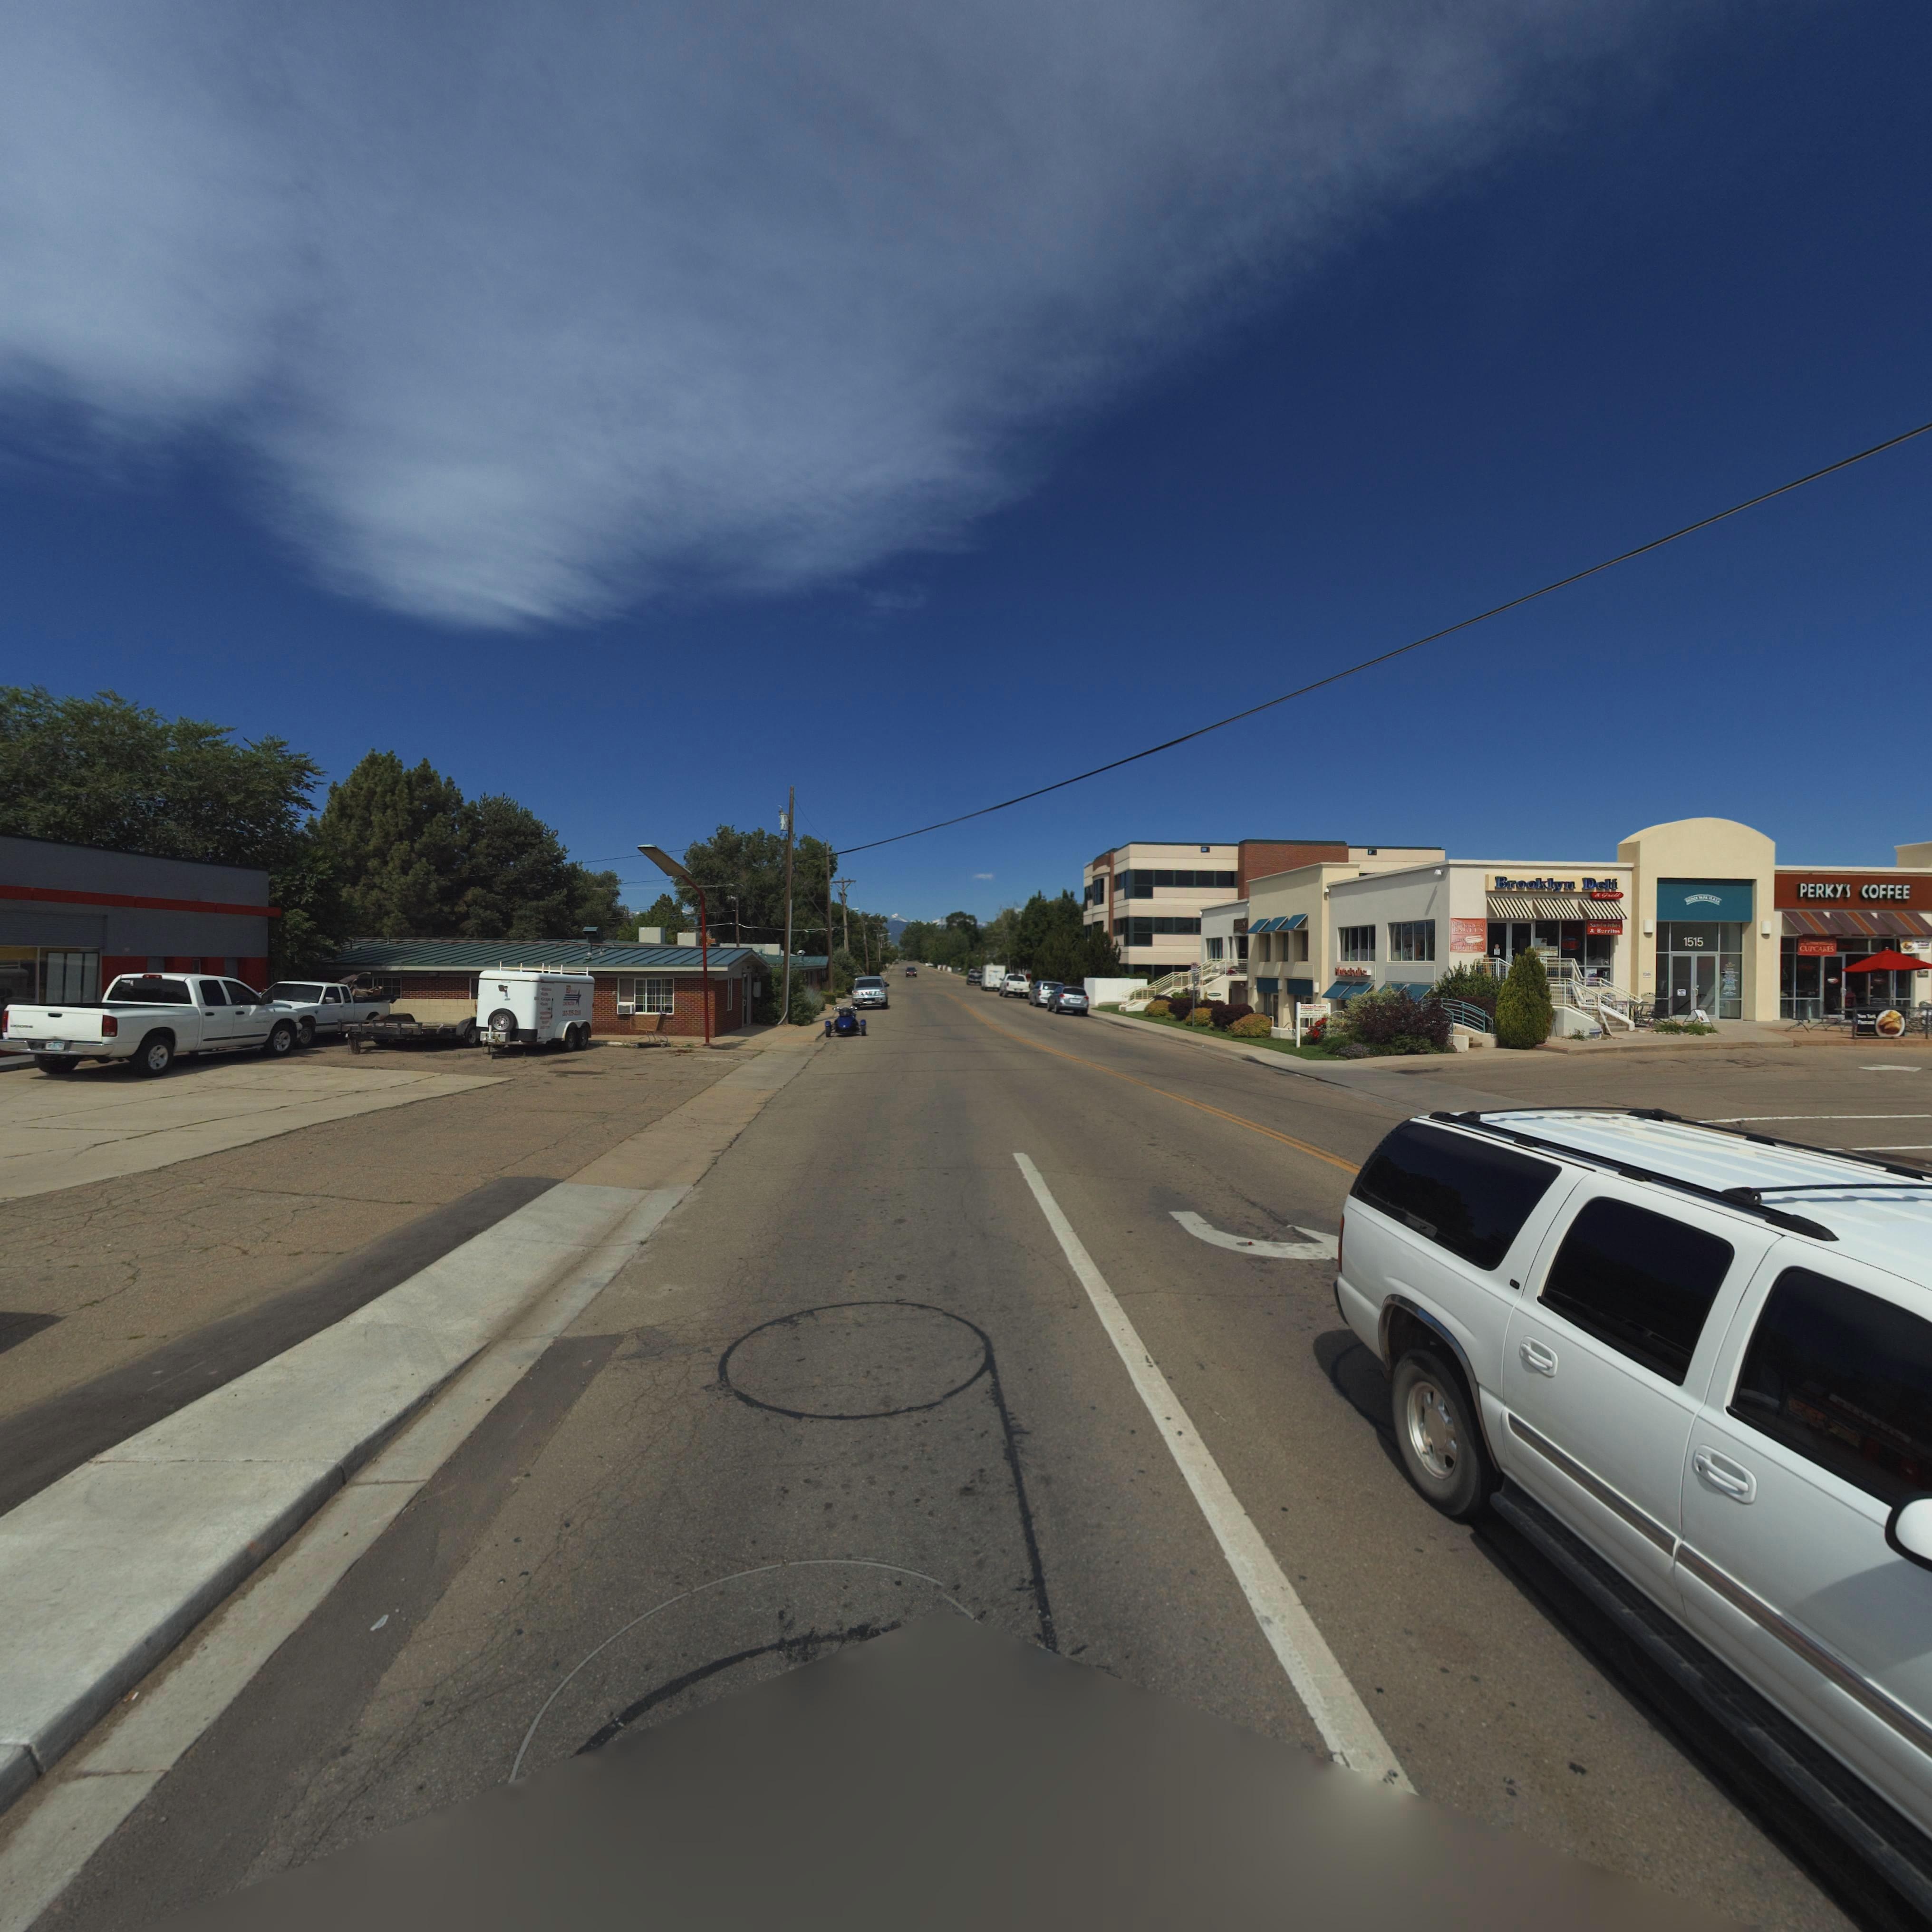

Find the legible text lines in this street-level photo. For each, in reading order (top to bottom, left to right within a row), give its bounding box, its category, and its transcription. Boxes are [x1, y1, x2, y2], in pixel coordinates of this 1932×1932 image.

[1494, 875, 1619, 893] BusinessName: Brooklyn Deli
[1592, 892, 1621, 898] BusinessName: & Grill
[1799, 882, 1911, 899] BusinessName: PERKYS COFFEE
[1681, 936, 1704, 947] StreetNumber: 1515
[1333, 966, 1367, 976] BusinessName: M****h*les